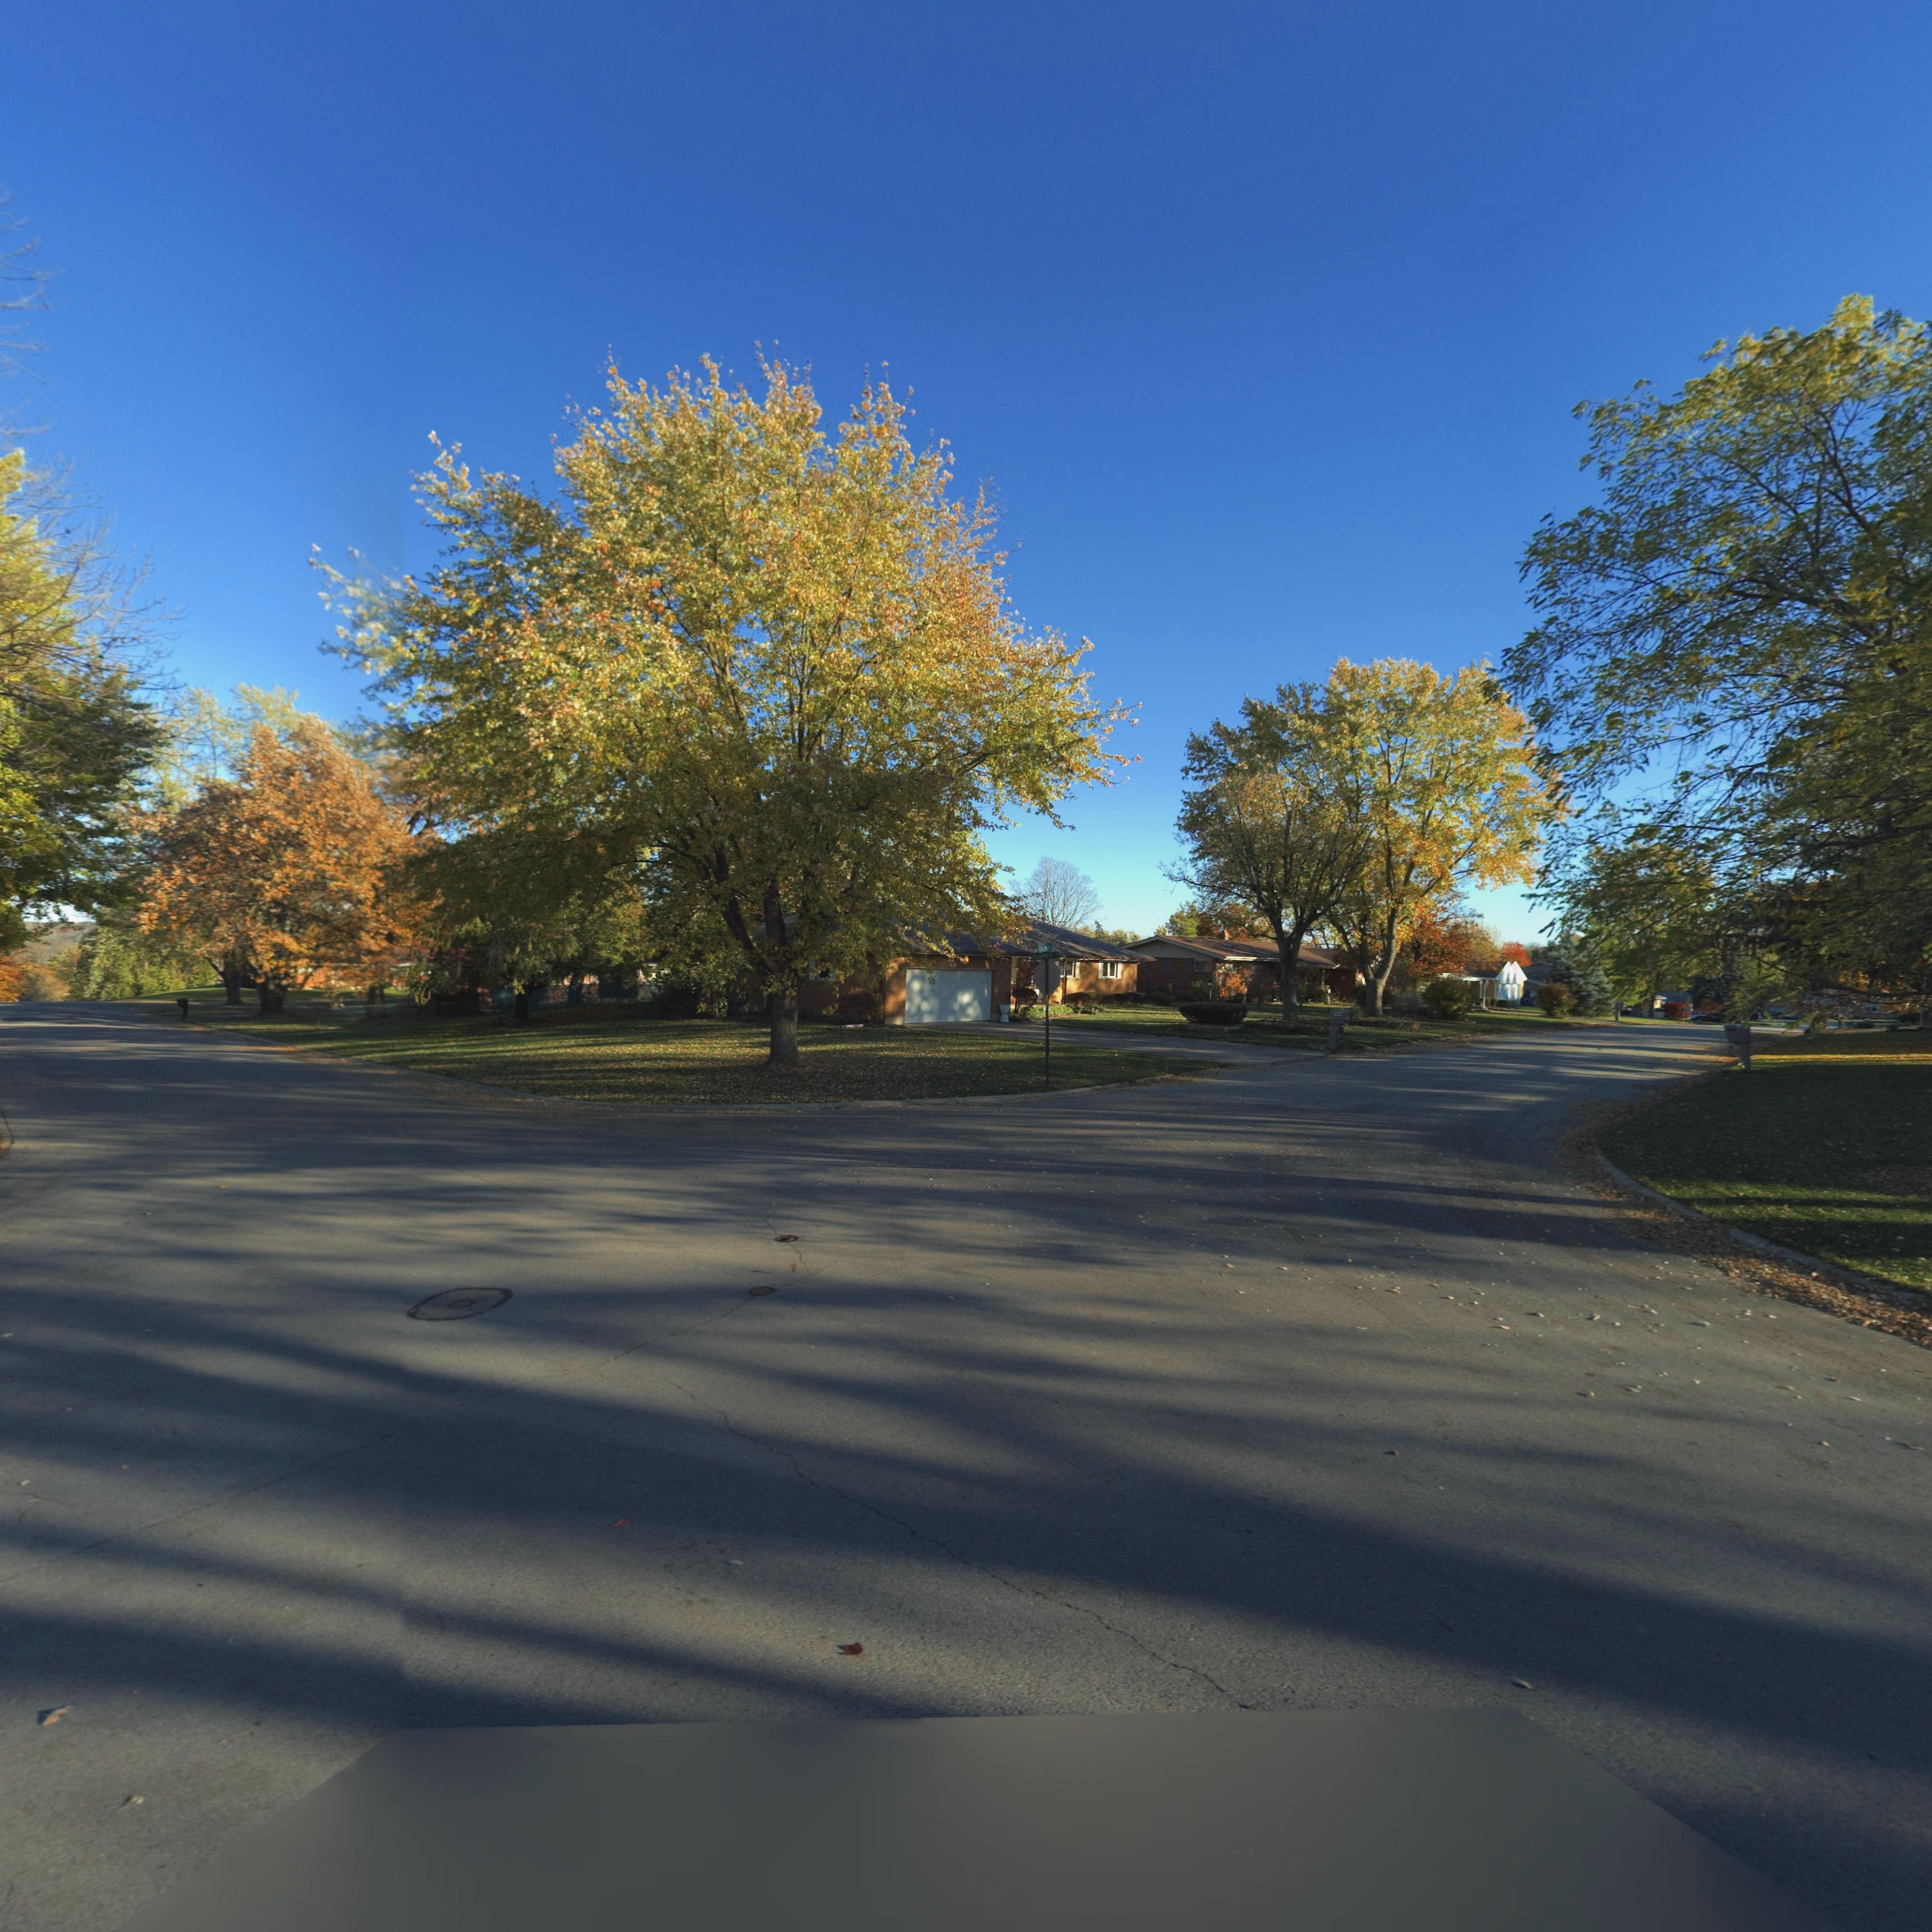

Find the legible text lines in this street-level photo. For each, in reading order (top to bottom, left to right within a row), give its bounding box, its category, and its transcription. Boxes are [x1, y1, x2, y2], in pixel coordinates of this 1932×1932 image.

[1333, 1012, 1344, 1016] StreetNumber: 7540